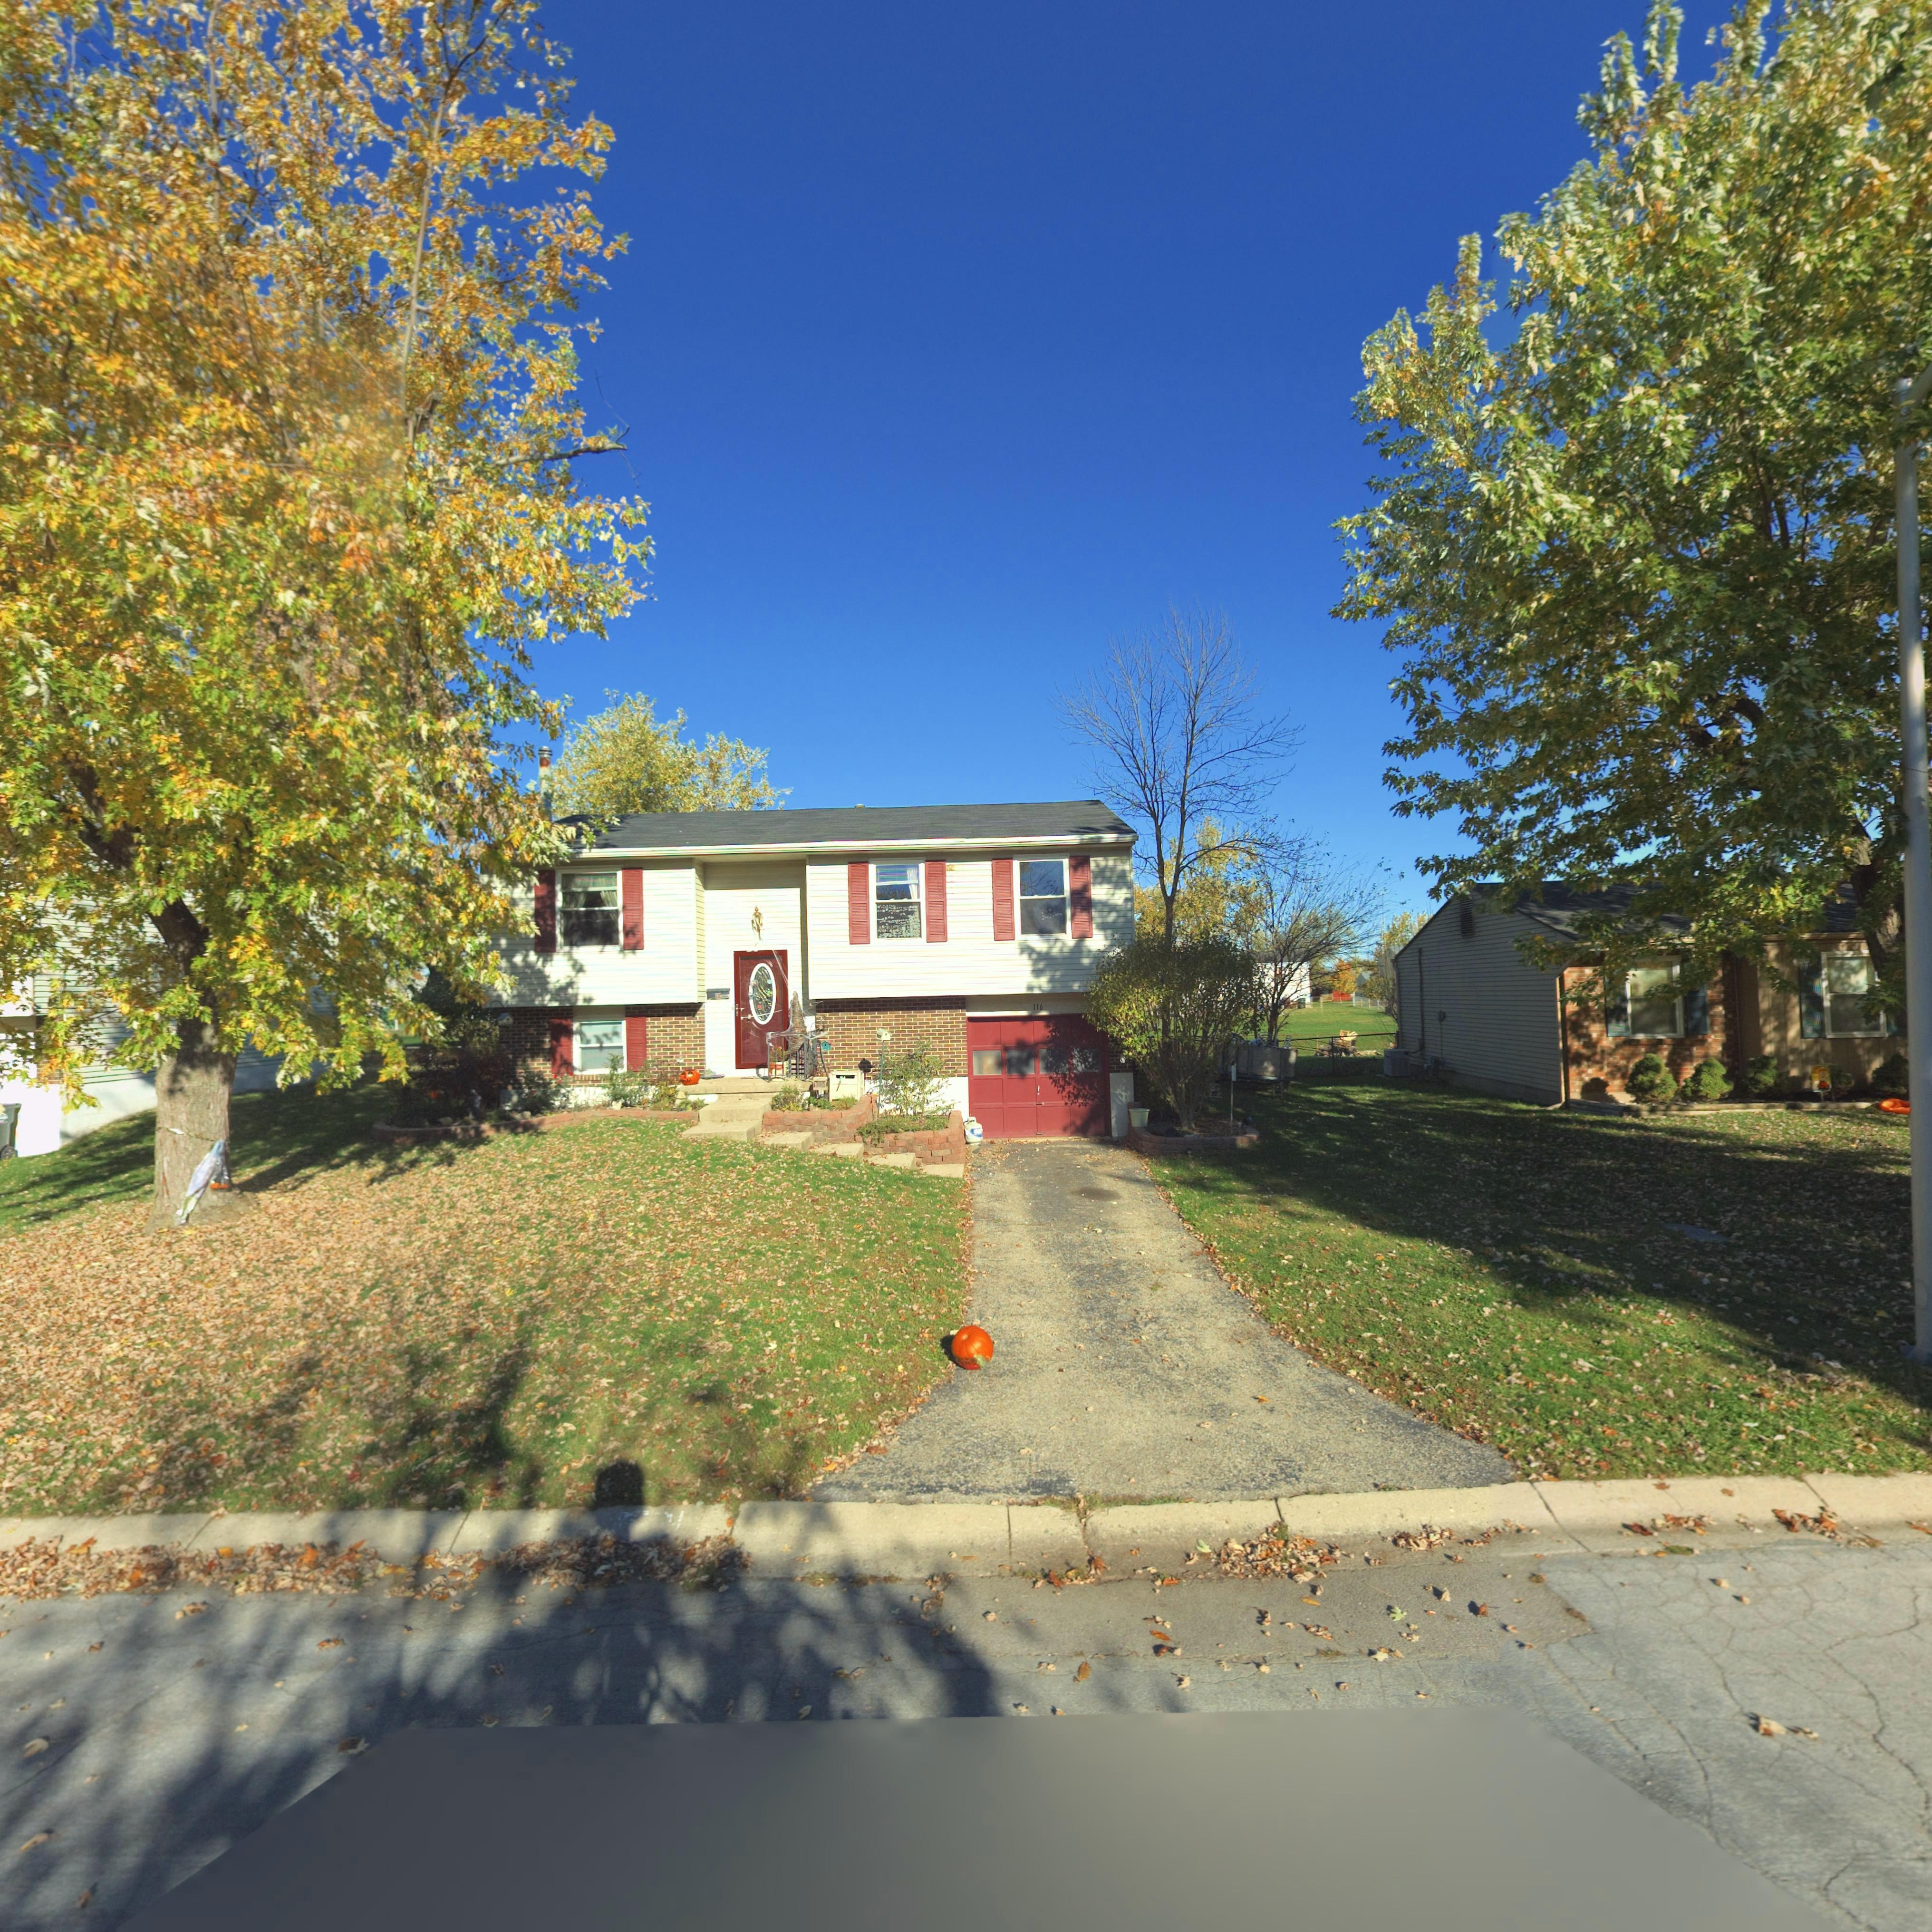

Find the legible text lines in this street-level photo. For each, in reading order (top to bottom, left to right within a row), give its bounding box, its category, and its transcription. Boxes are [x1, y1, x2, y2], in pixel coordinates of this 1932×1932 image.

[1033, 1003, 1043, 1011] StreetNumber: 116